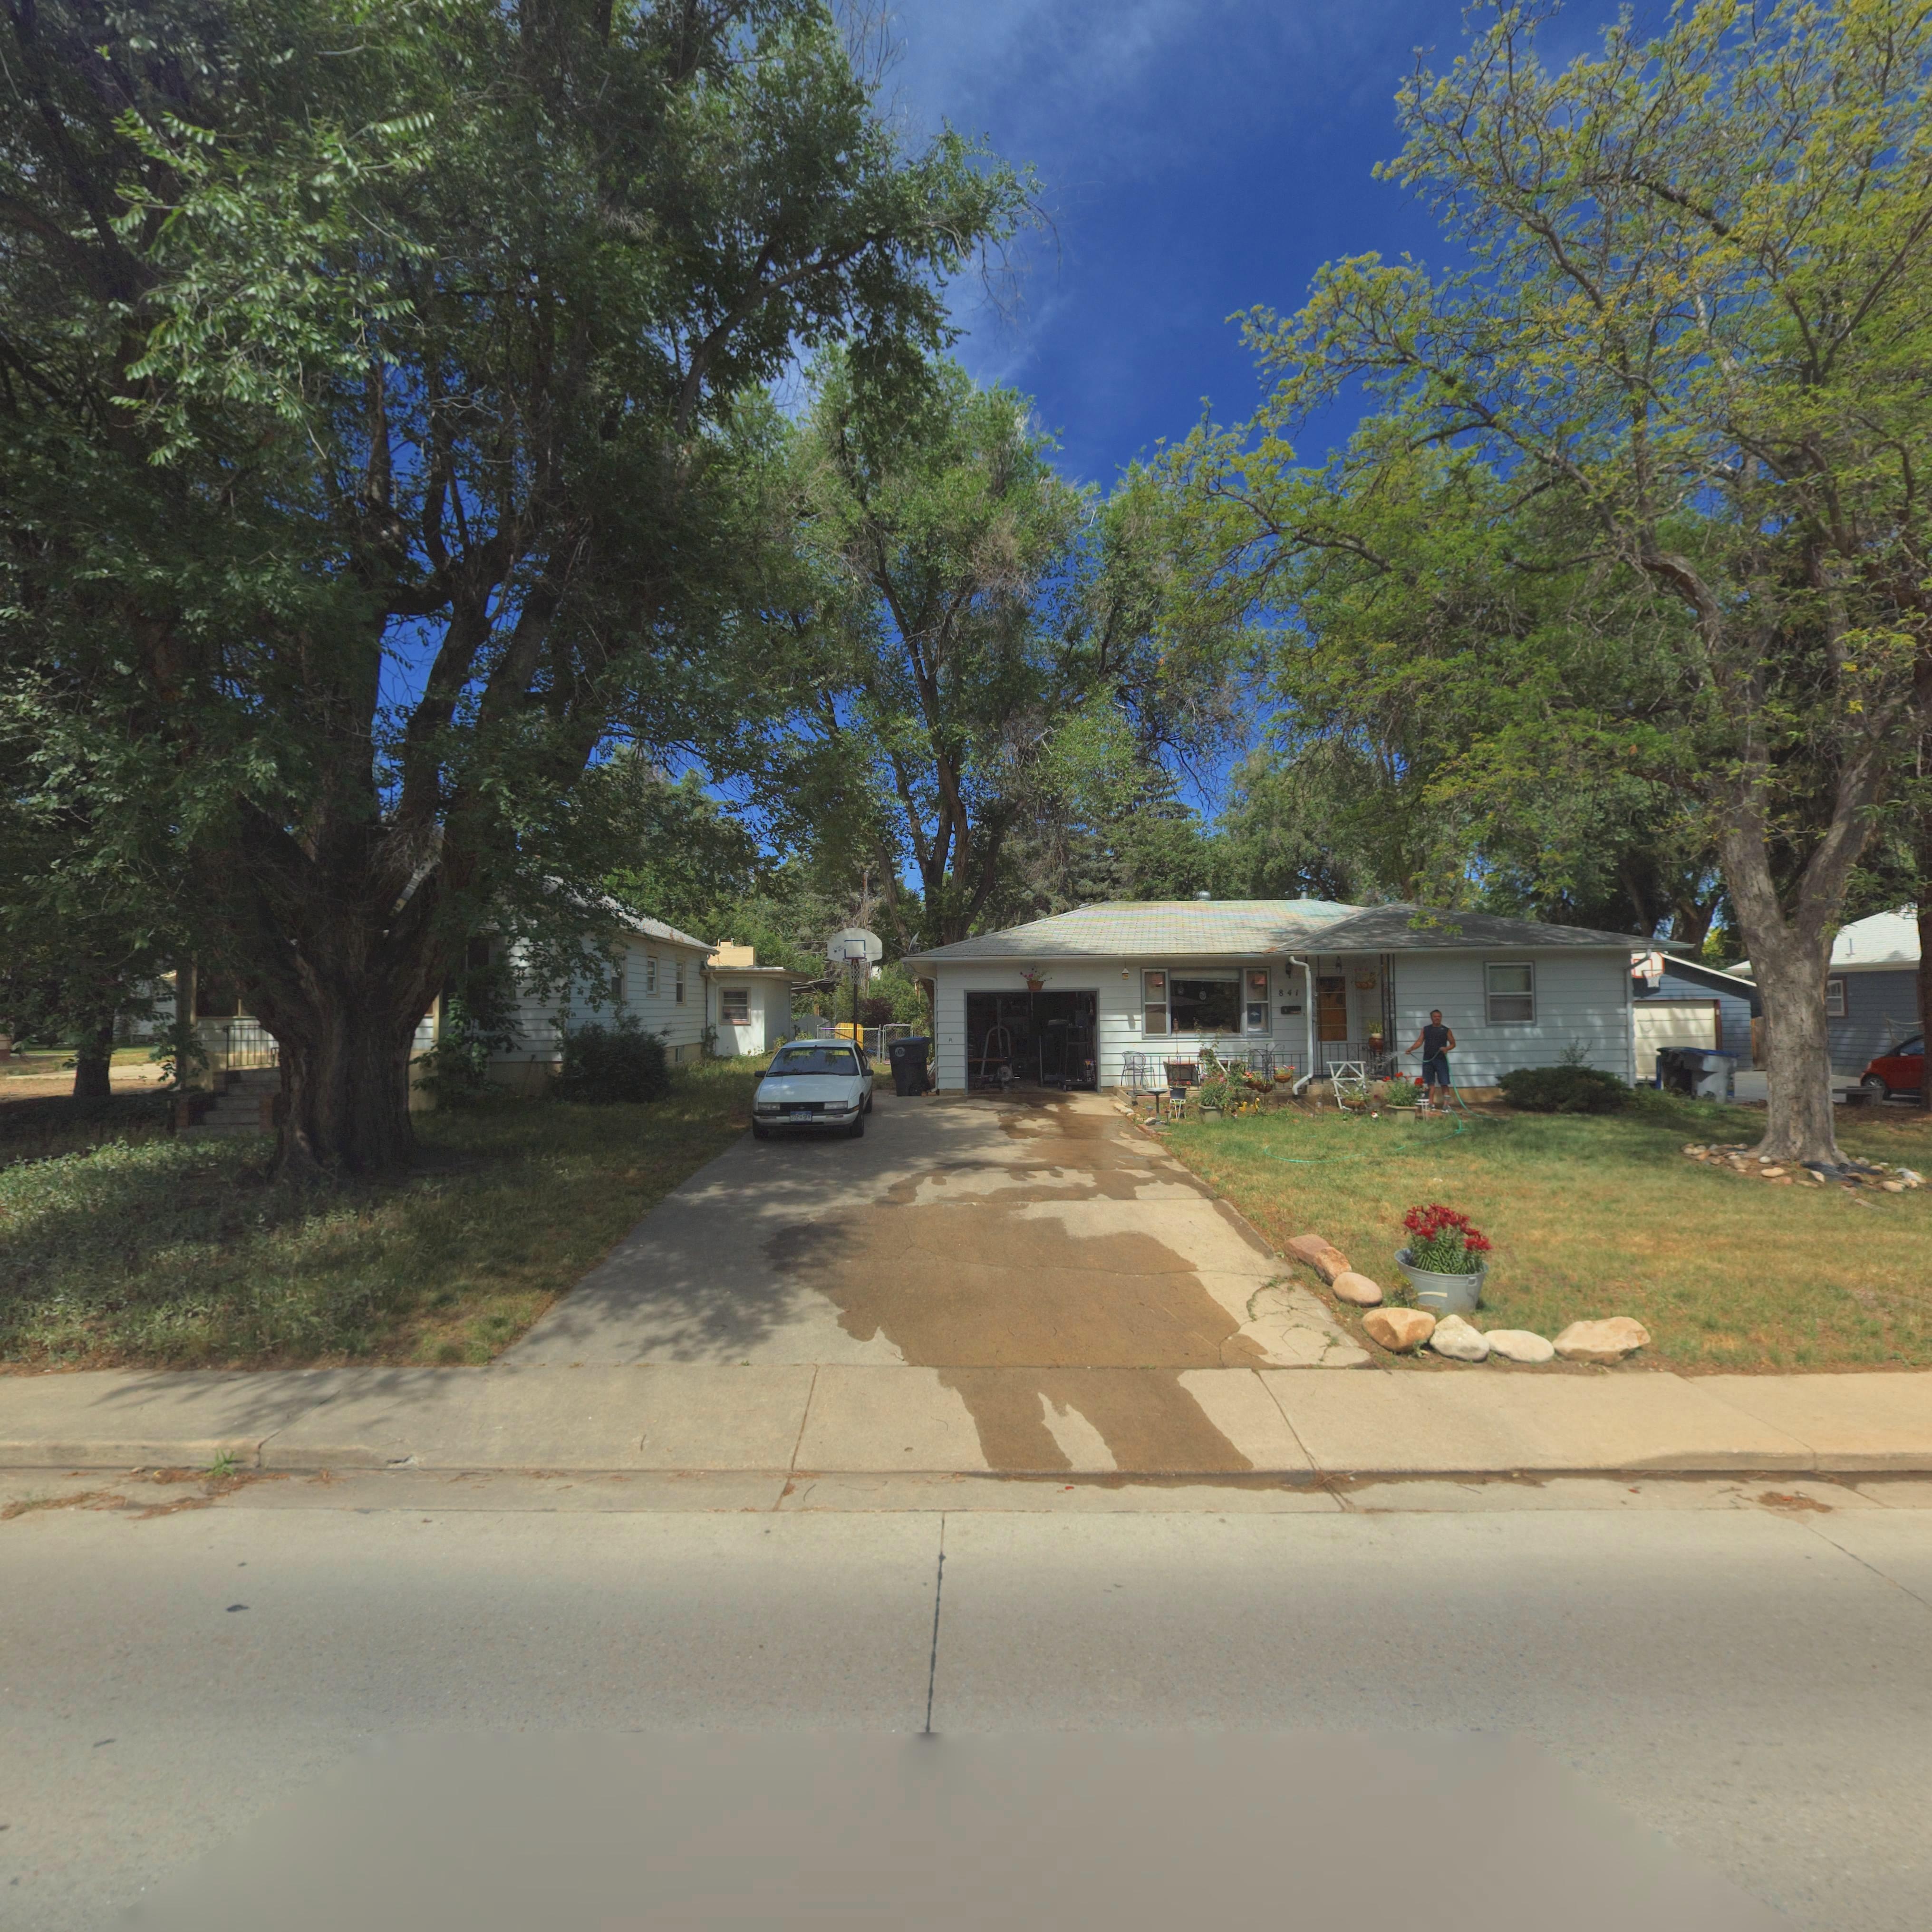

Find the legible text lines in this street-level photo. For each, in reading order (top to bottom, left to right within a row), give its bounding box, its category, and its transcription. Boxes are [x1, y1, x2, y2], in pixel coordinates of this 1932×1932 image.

[1278, 989, 1298, 996] StreetNumber: 841